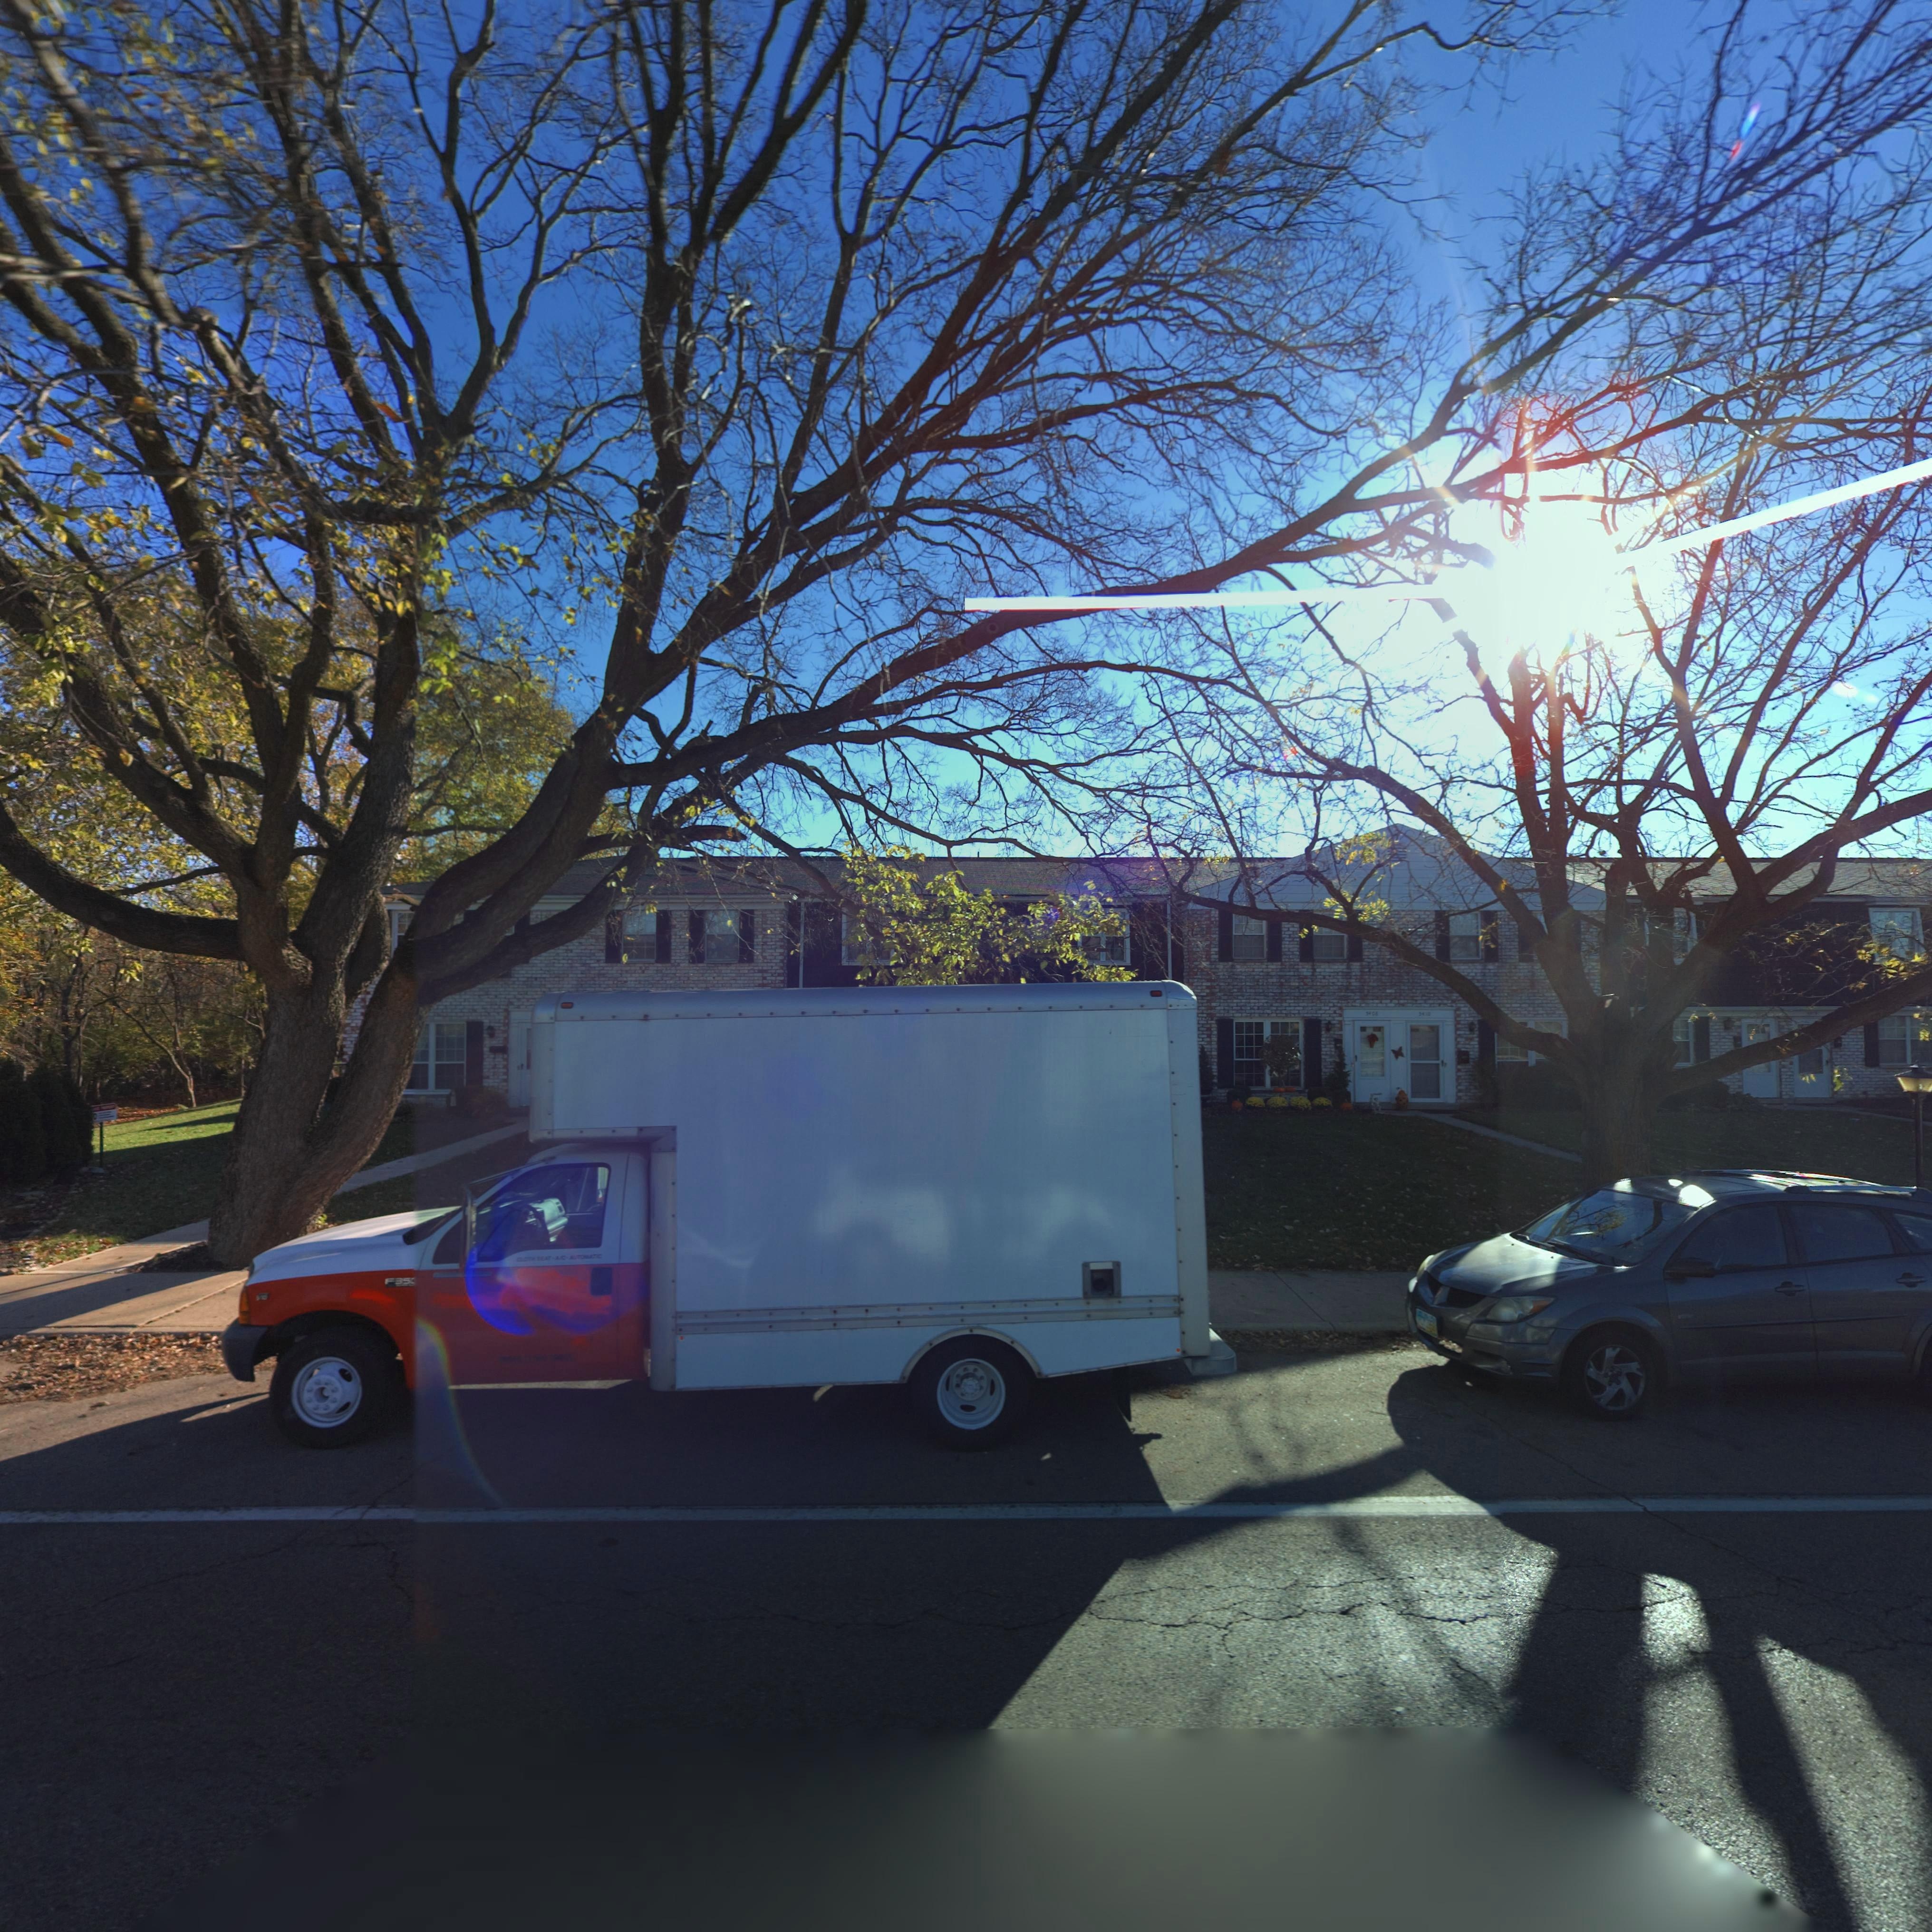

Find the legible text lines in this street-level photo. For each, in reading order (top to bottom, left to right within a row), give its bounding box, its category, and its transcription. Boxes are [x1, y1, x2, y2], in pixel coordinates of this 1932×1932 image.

[1365, 1010, 1379, 1017] StreetNumber: **0*
[1418, 1011, 1431, 1017] StreetNumber: 5410